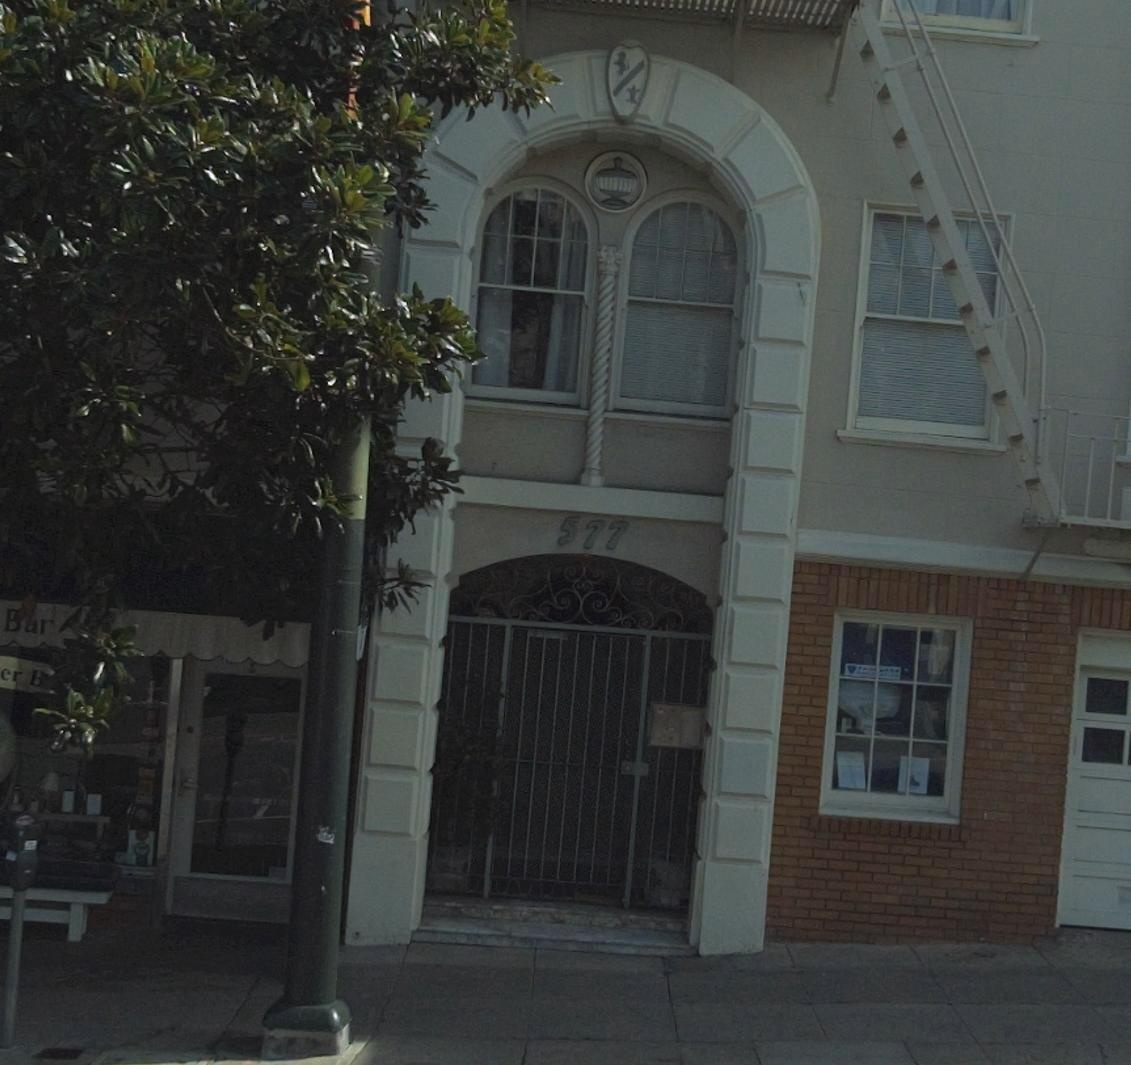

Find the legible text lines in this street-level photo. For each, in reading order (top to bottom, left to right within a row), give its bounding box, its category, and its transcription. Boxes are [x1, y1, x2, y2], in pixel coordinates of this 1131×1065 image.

[556, 515, 631, 552] StreetNumber: 577
[2, 605, 56, 637] None: Bar
[0, 661, 59, 696] None: er B